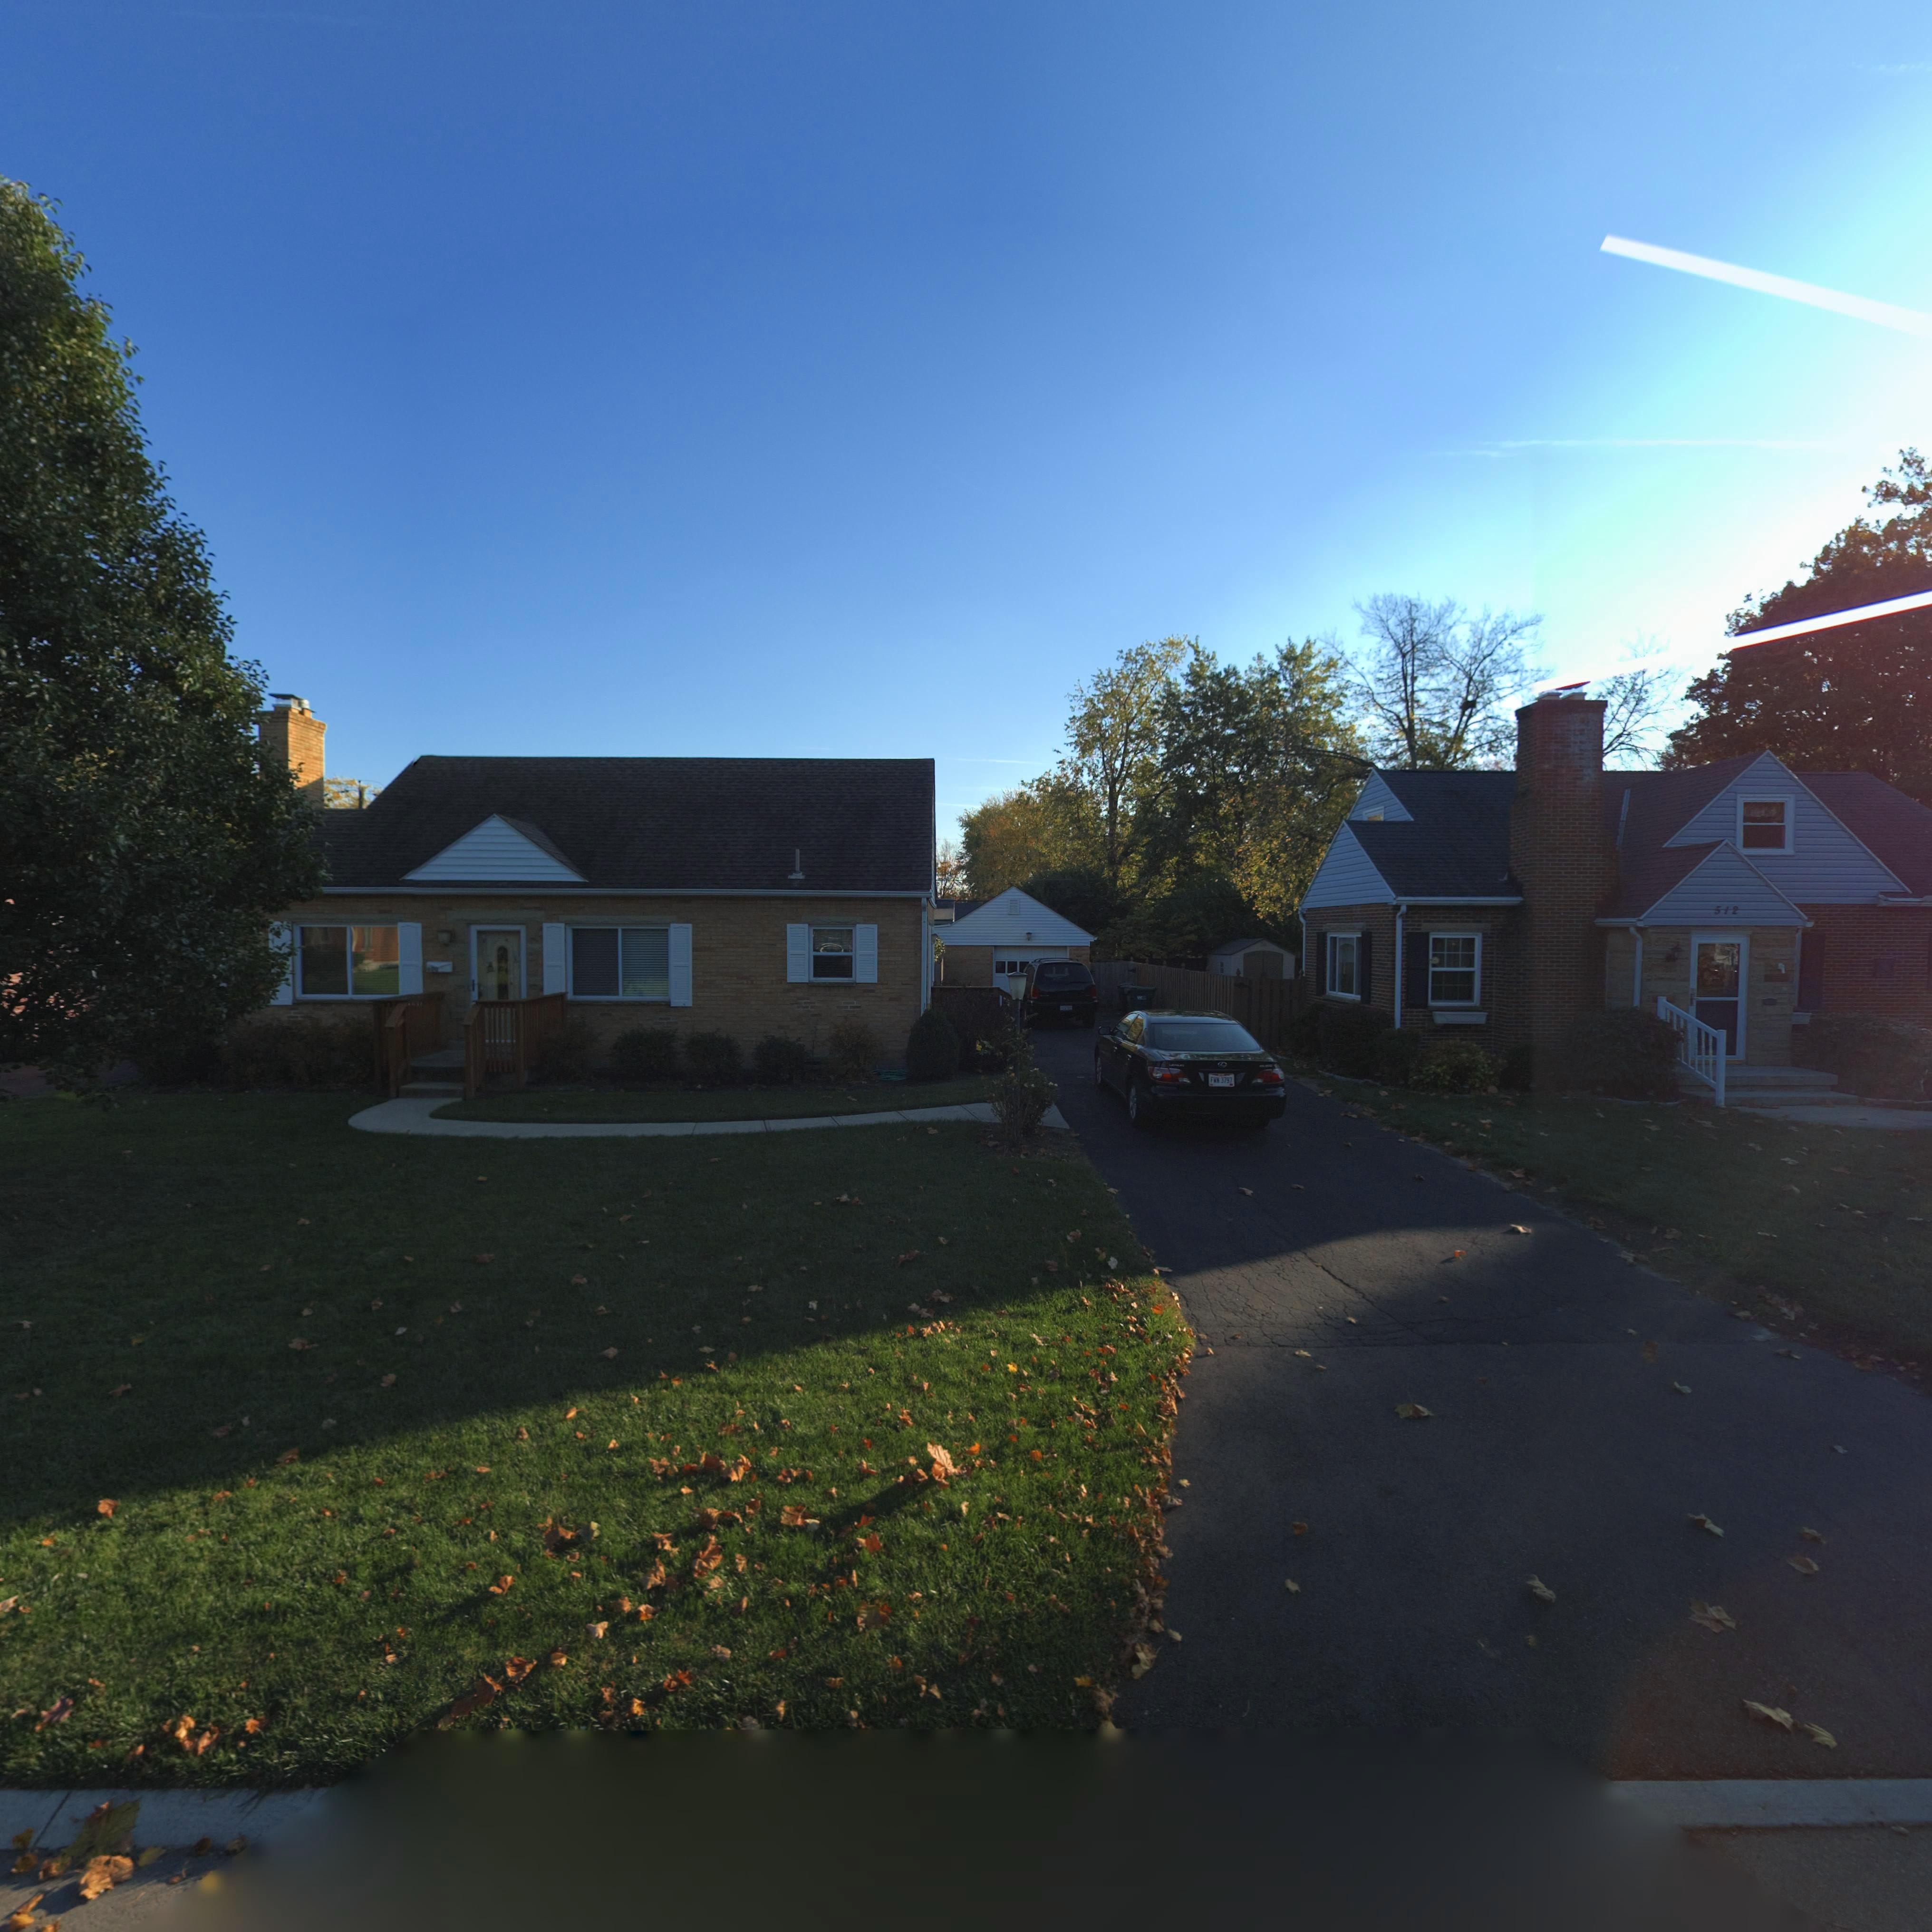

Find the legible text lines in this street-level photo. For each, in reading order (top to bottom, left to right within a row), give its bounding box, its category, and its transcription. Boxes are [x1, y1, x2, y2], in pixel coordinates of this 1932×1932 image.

[1713, 905, 1739, 915] StreetNumber: 512